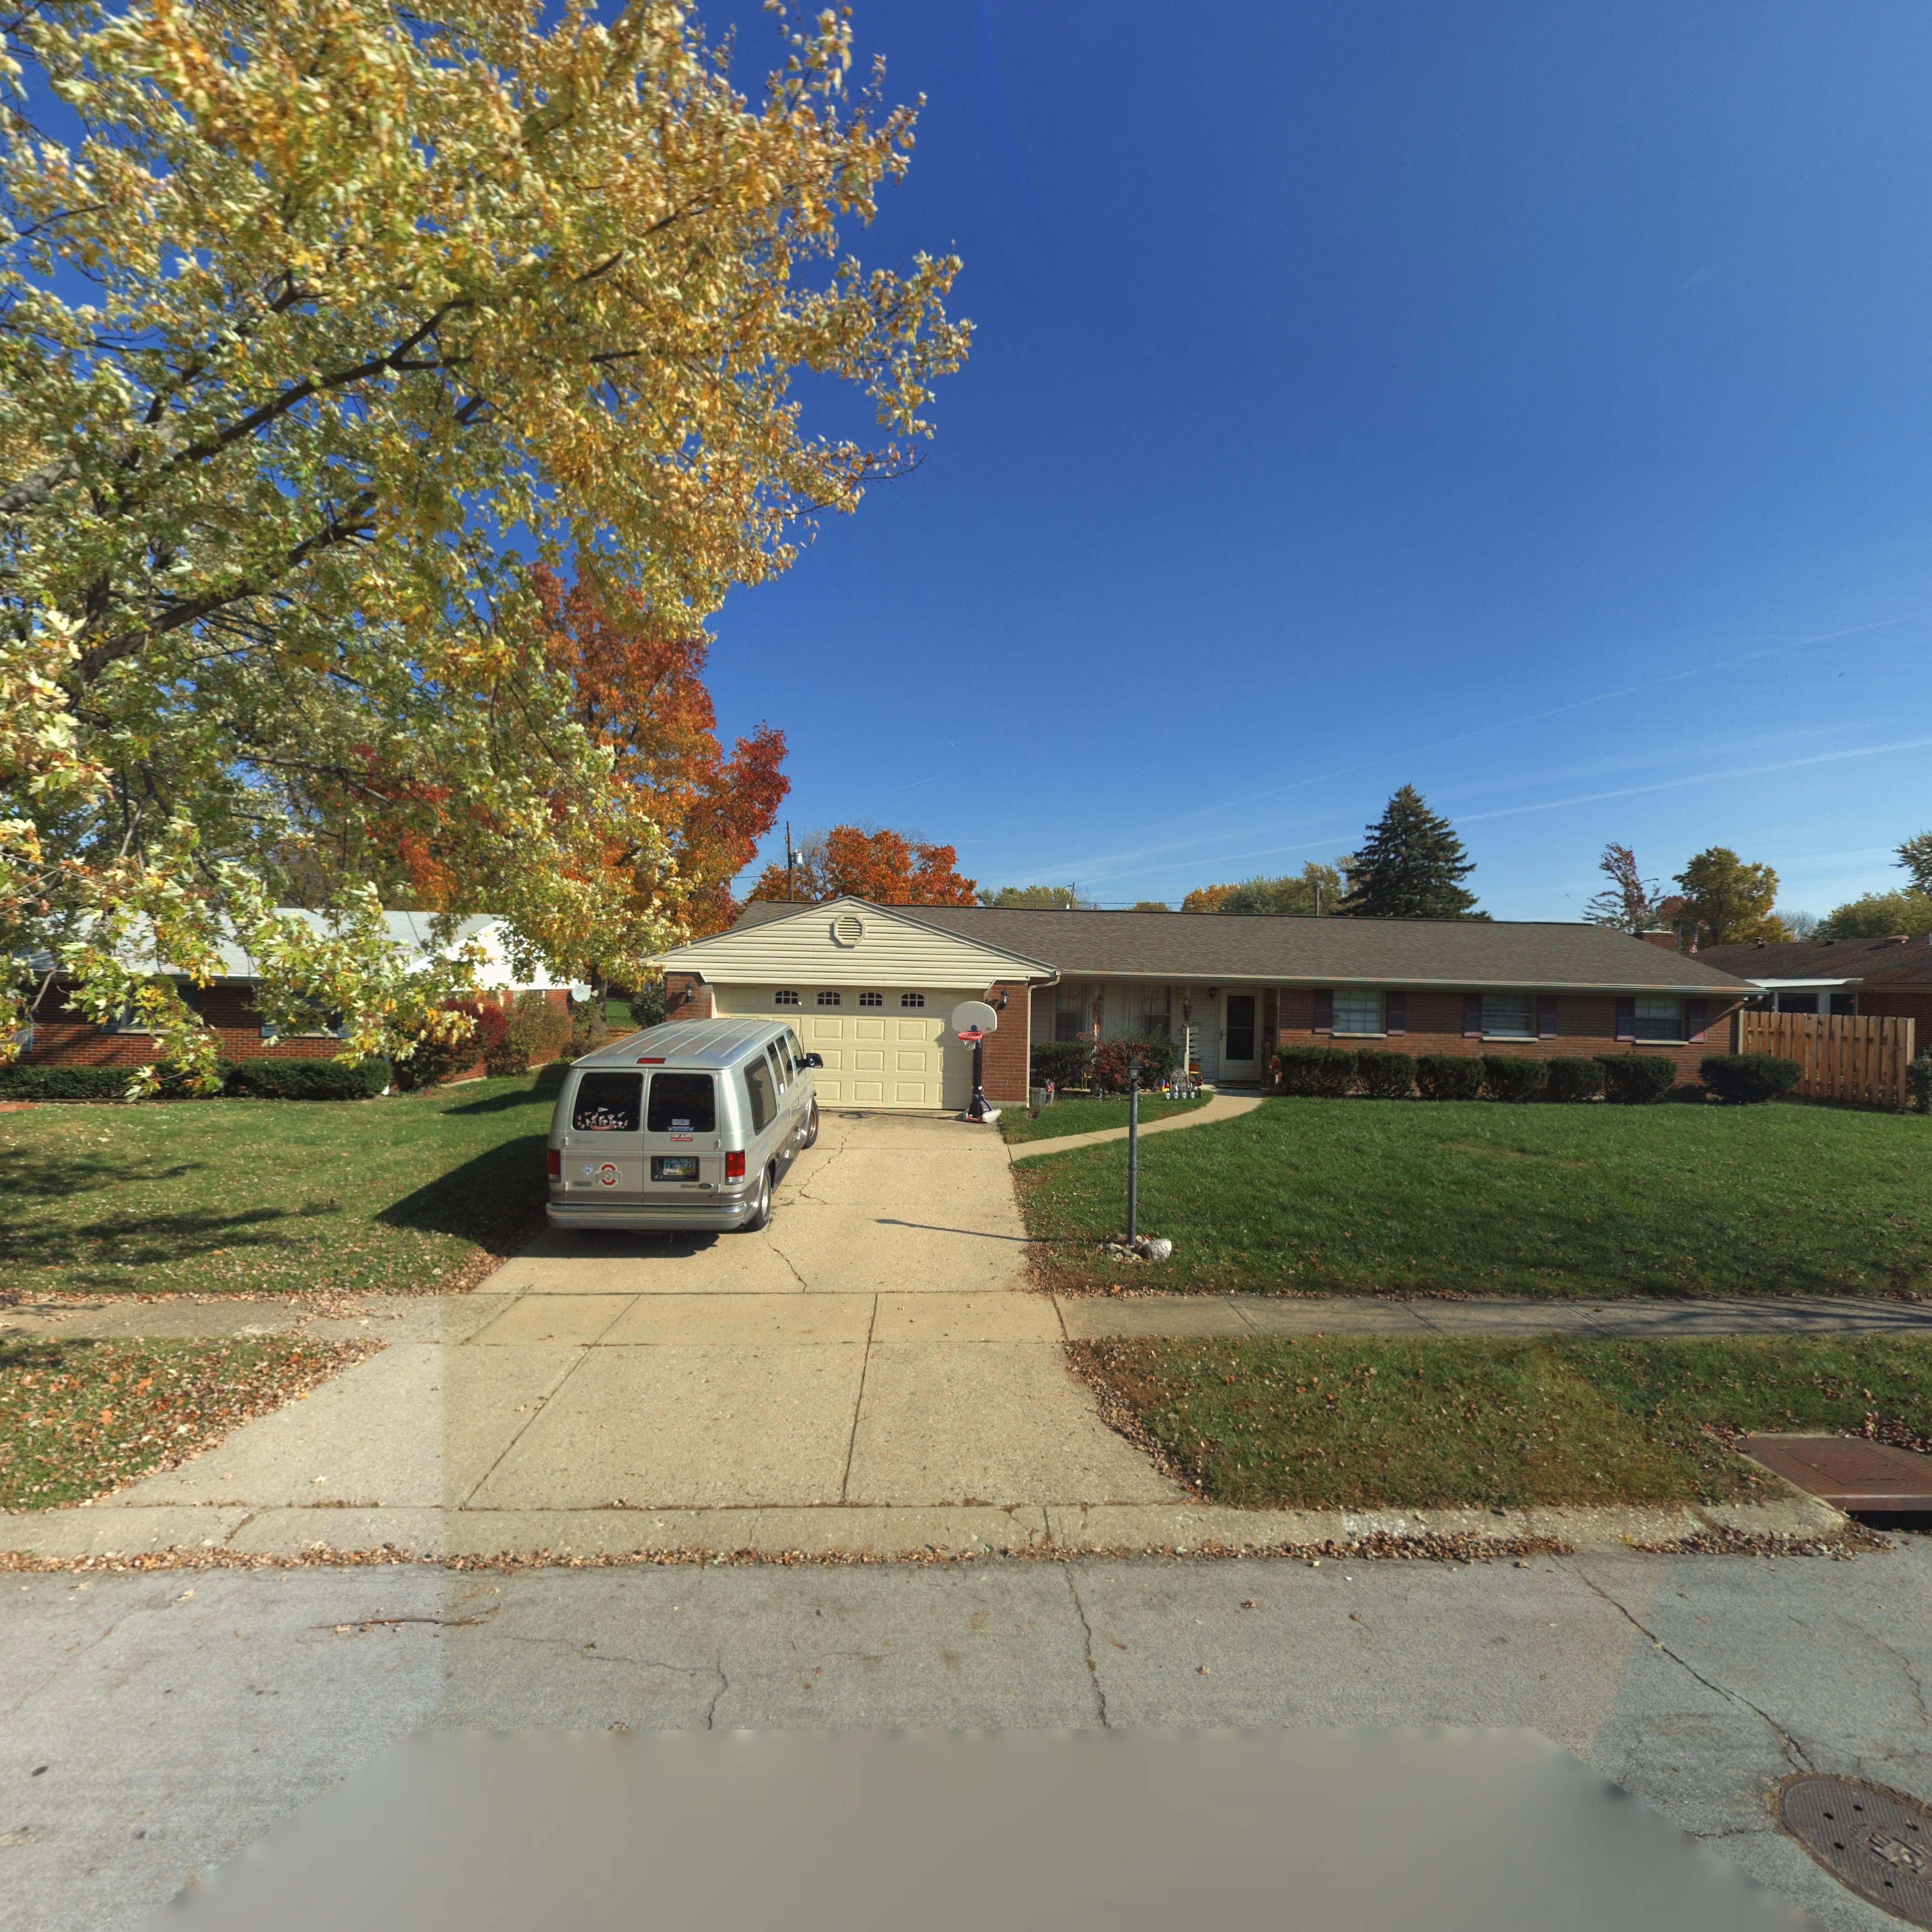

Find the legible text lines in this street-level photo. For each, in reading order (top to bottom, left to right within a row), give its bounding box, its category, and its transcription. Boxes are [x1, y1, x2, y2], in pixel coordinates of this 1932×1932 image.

[1191, 1020, 1204, 1028] StreetNumber: 3712
[665, 1161, 695, 1172] None: FMG 3542